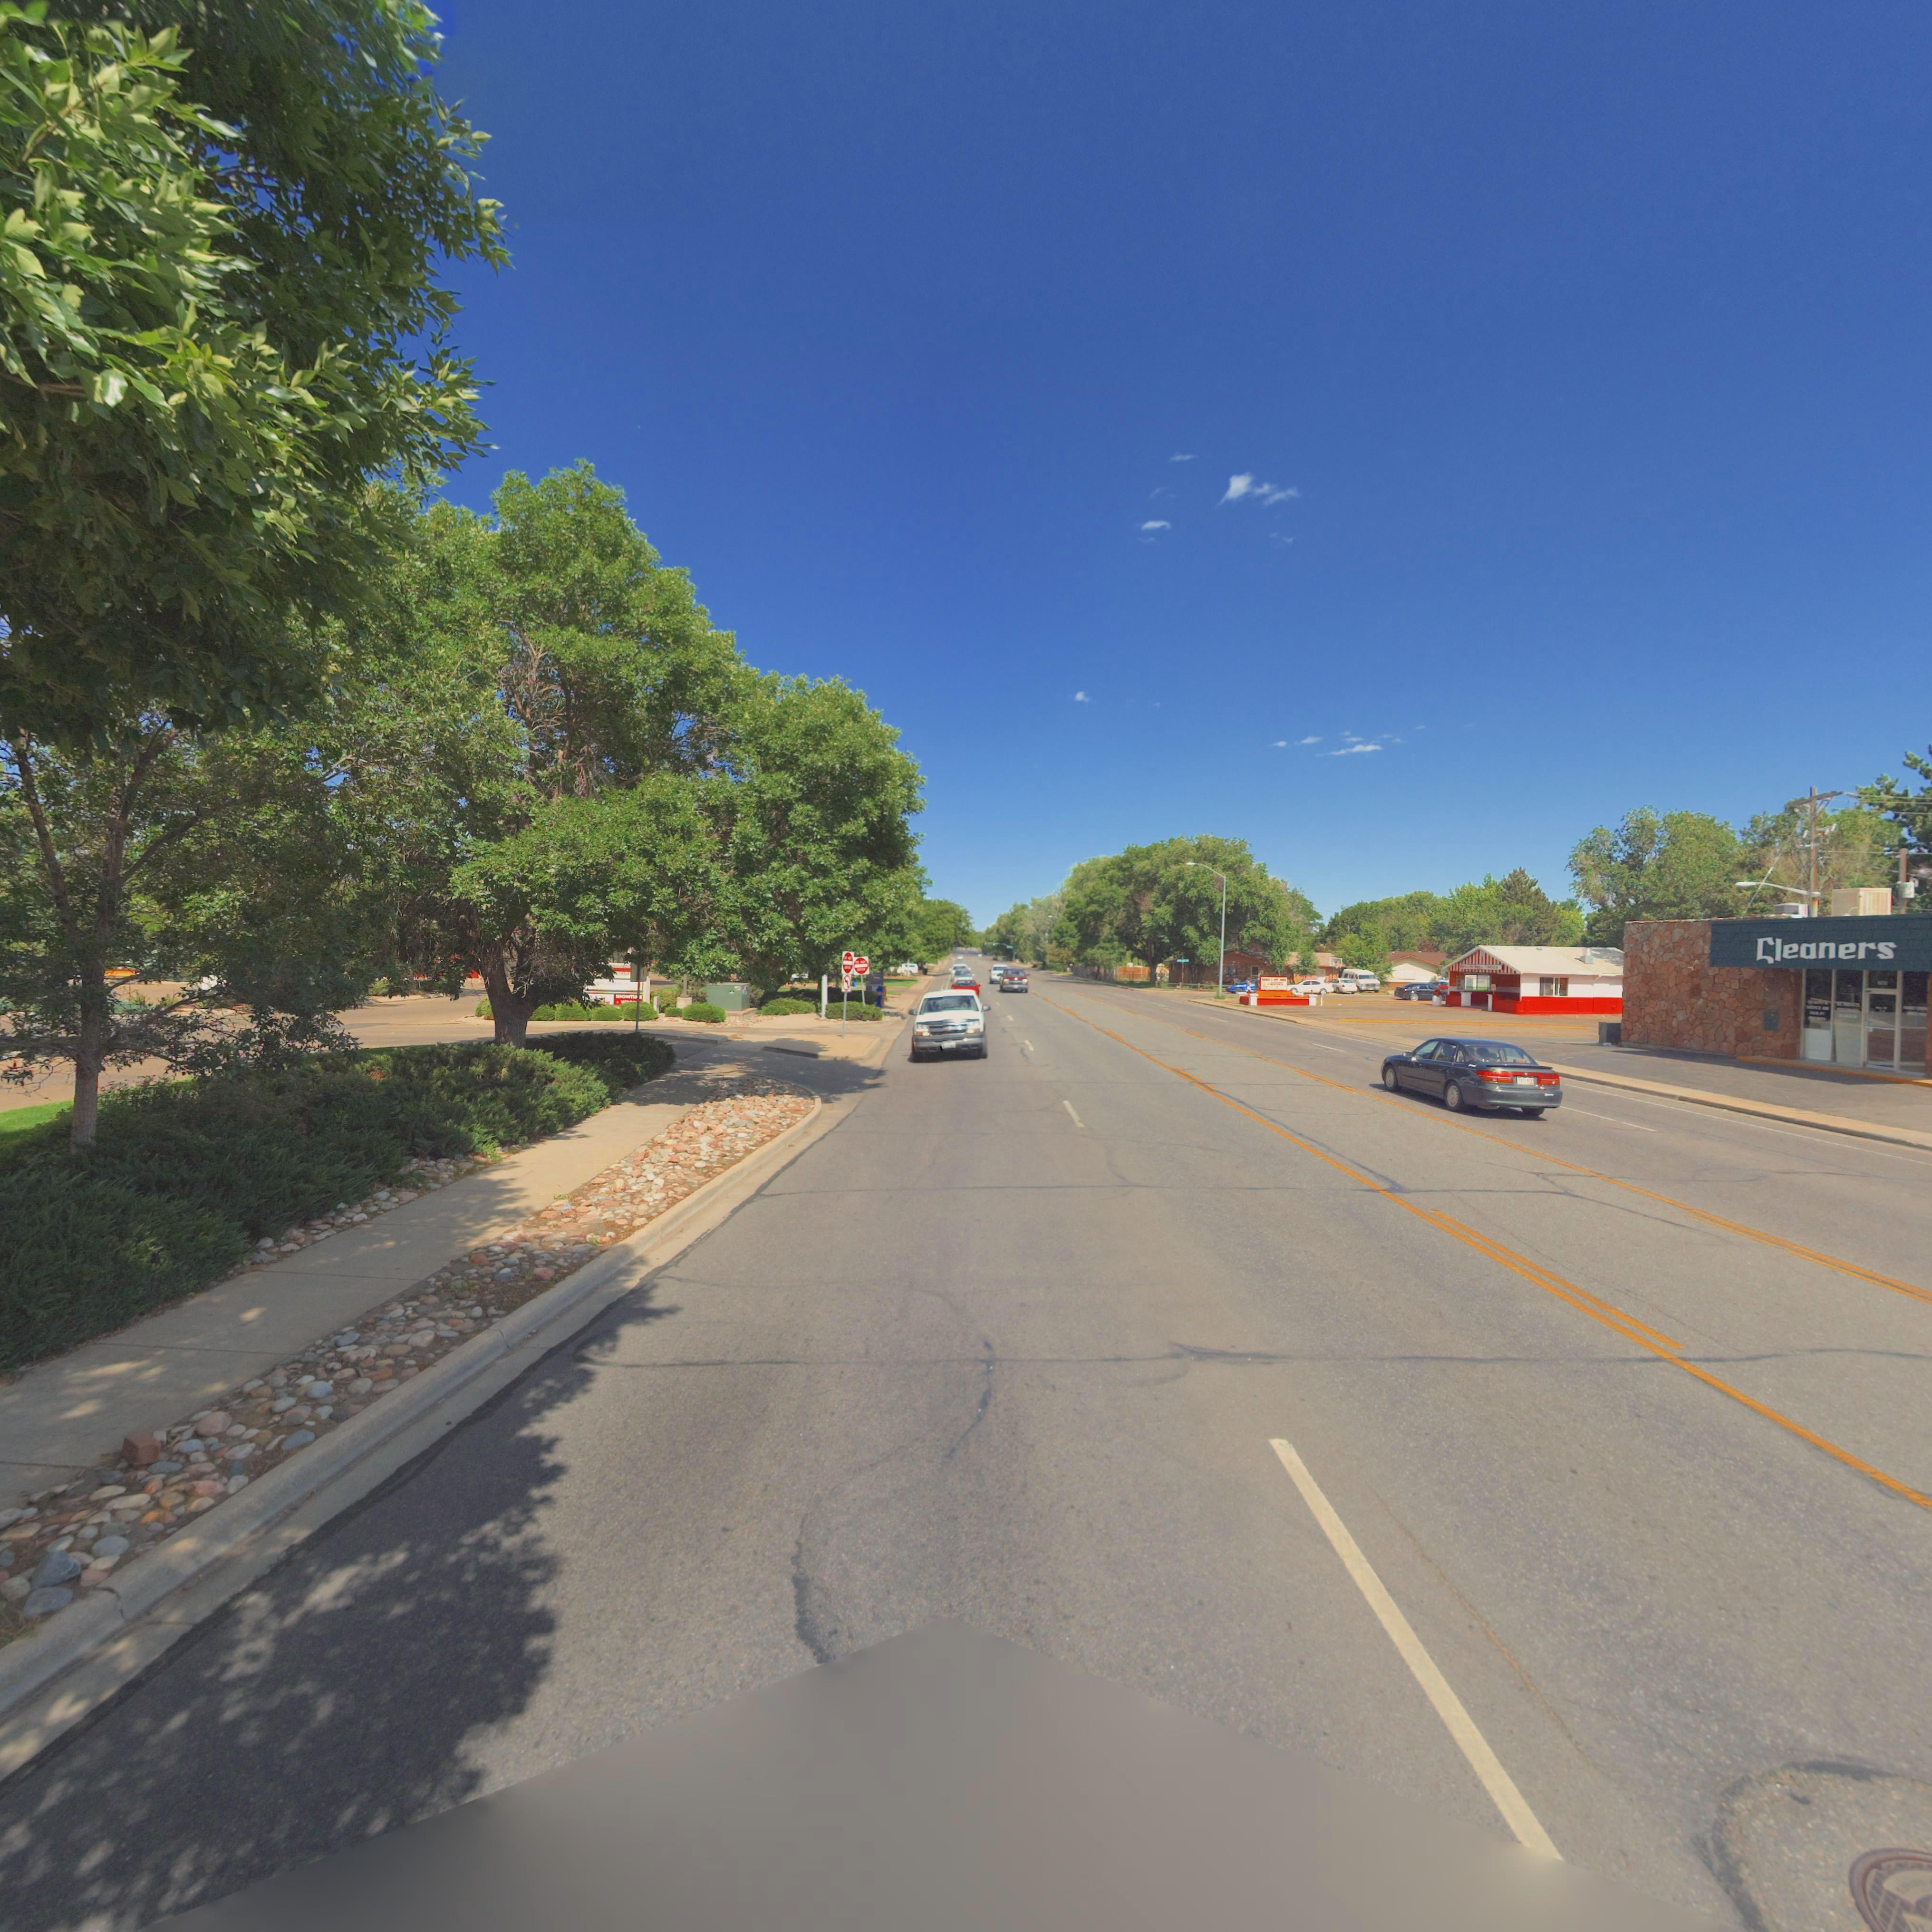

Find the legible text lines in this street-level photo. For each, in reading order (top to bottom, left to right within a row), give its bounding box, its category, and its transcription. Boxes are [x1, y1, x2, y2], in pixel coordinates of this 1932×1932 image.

[1460, 964, 1498, 969] BusinessName: ******s *** **** * *ACOS
[1261, 978, 1286, 981] BusinessName: ***** * **T ***S
[615, 994, 642, 999] BusinessName: SHOWTI**
[620, 1000, 636, 1005] BusinessName: V****